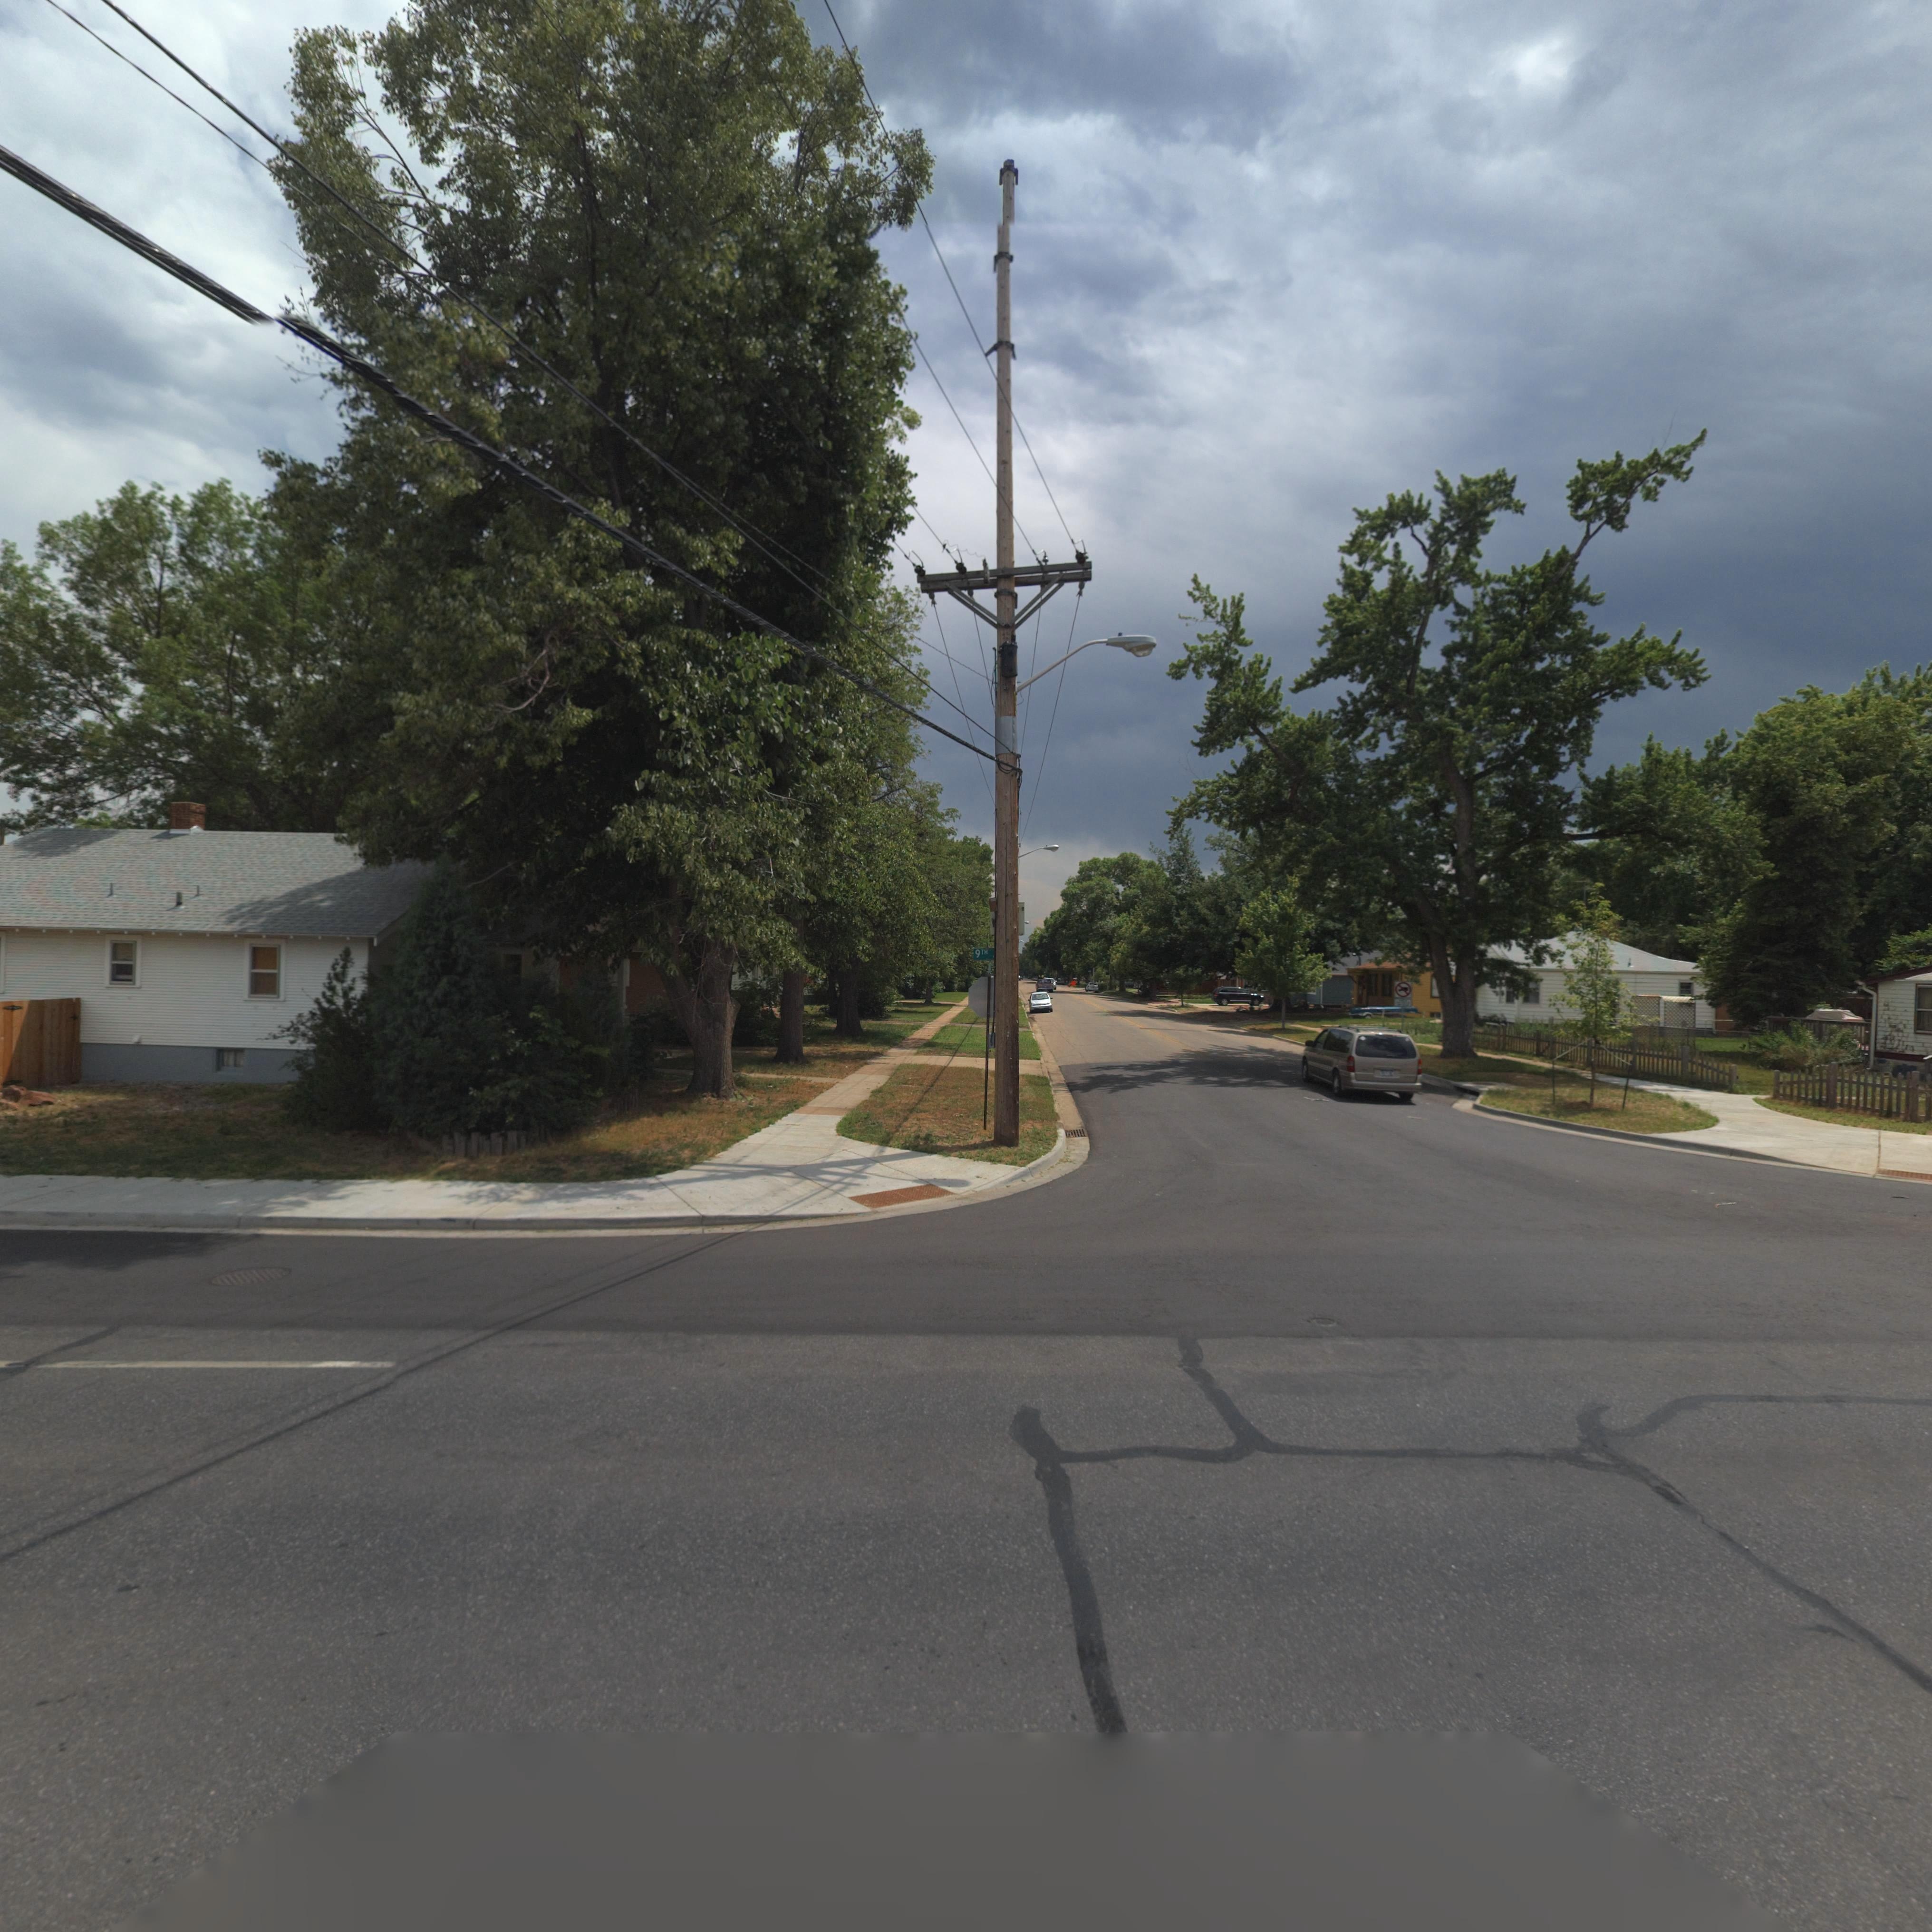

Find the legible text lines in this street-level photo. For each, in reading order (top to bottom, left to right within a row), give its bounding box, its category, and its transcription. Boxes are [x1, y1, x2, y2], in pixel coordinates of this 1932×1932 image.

[975, 949, 987, 958] StreetName: 9TH